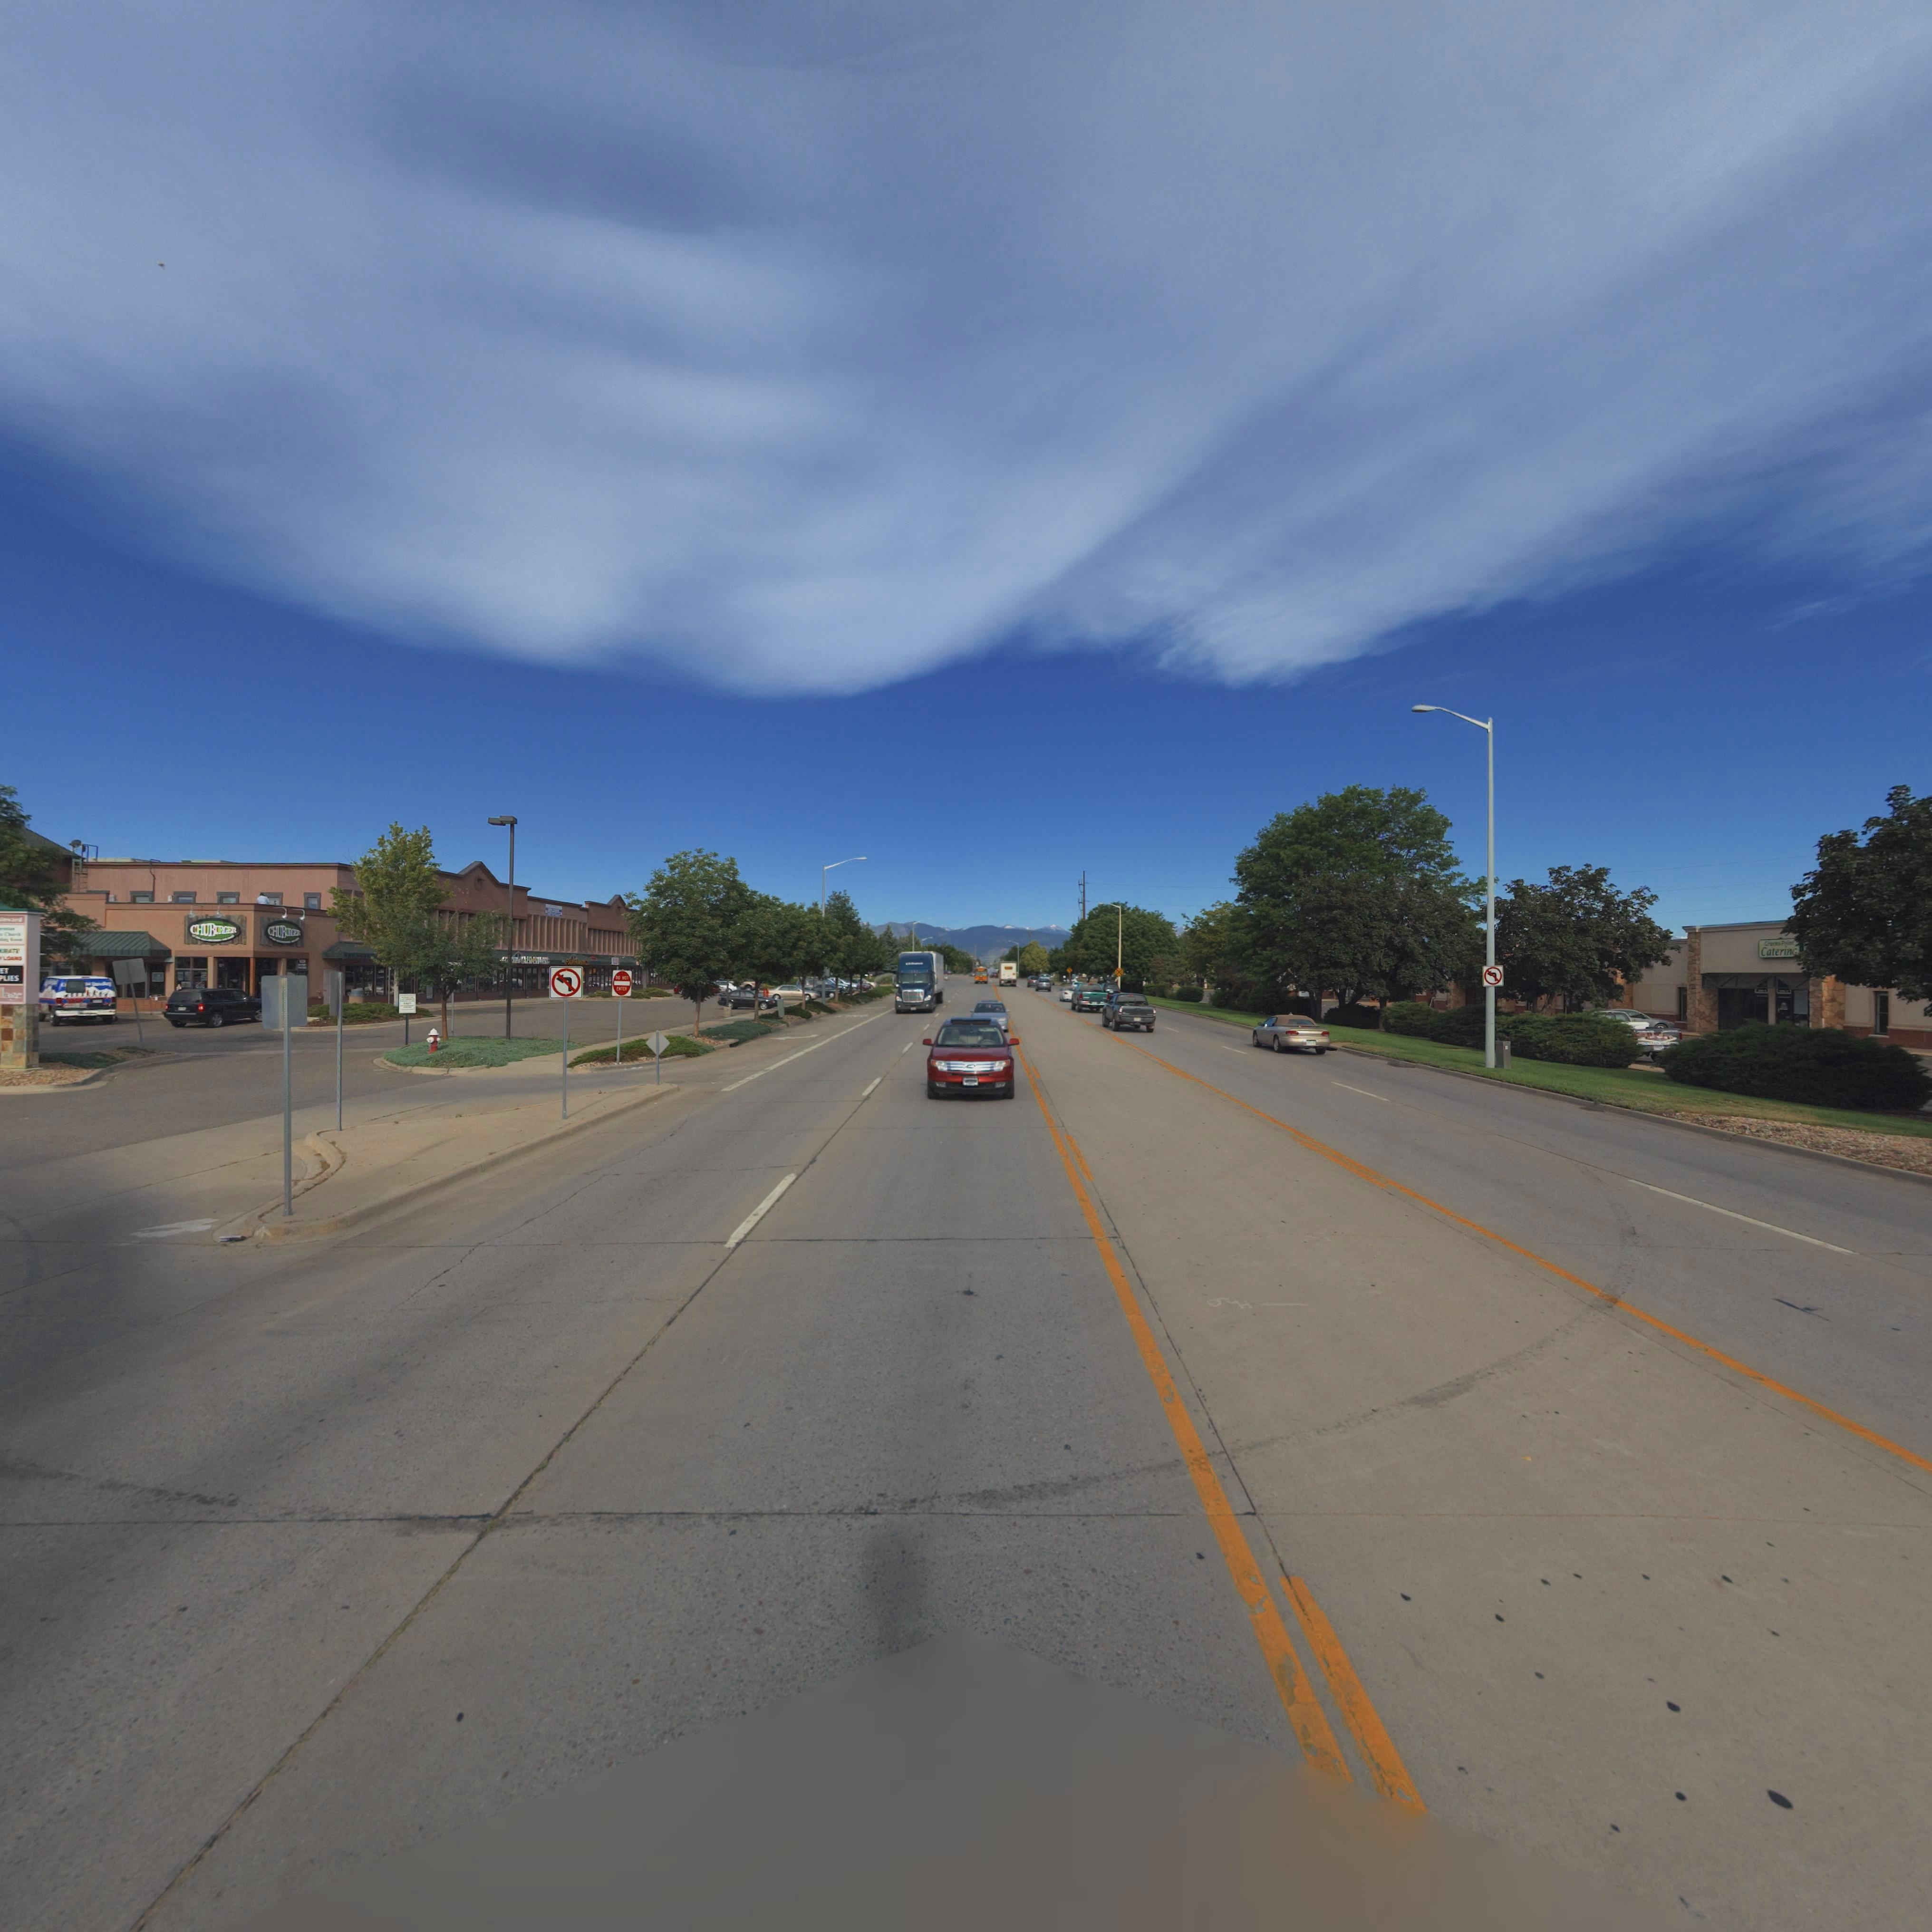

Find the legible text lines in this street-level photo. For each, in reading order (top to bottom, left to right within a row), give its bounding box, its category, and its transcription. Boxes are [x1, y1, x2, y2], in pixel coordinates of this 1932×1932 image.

[189, 922, 237, 937] BusinessName: CHUBURGER
[267, 925, 301, 939] BusinessName: CHUB**GER
[1760, 945, 1797, 956] BusinessName: Catering
[565, 958, 589, 965] BusinessName: P*******
[2, 975, 20, 981] BusinessName: LIES
[3, 992, 22, 1001] BusinessName: age